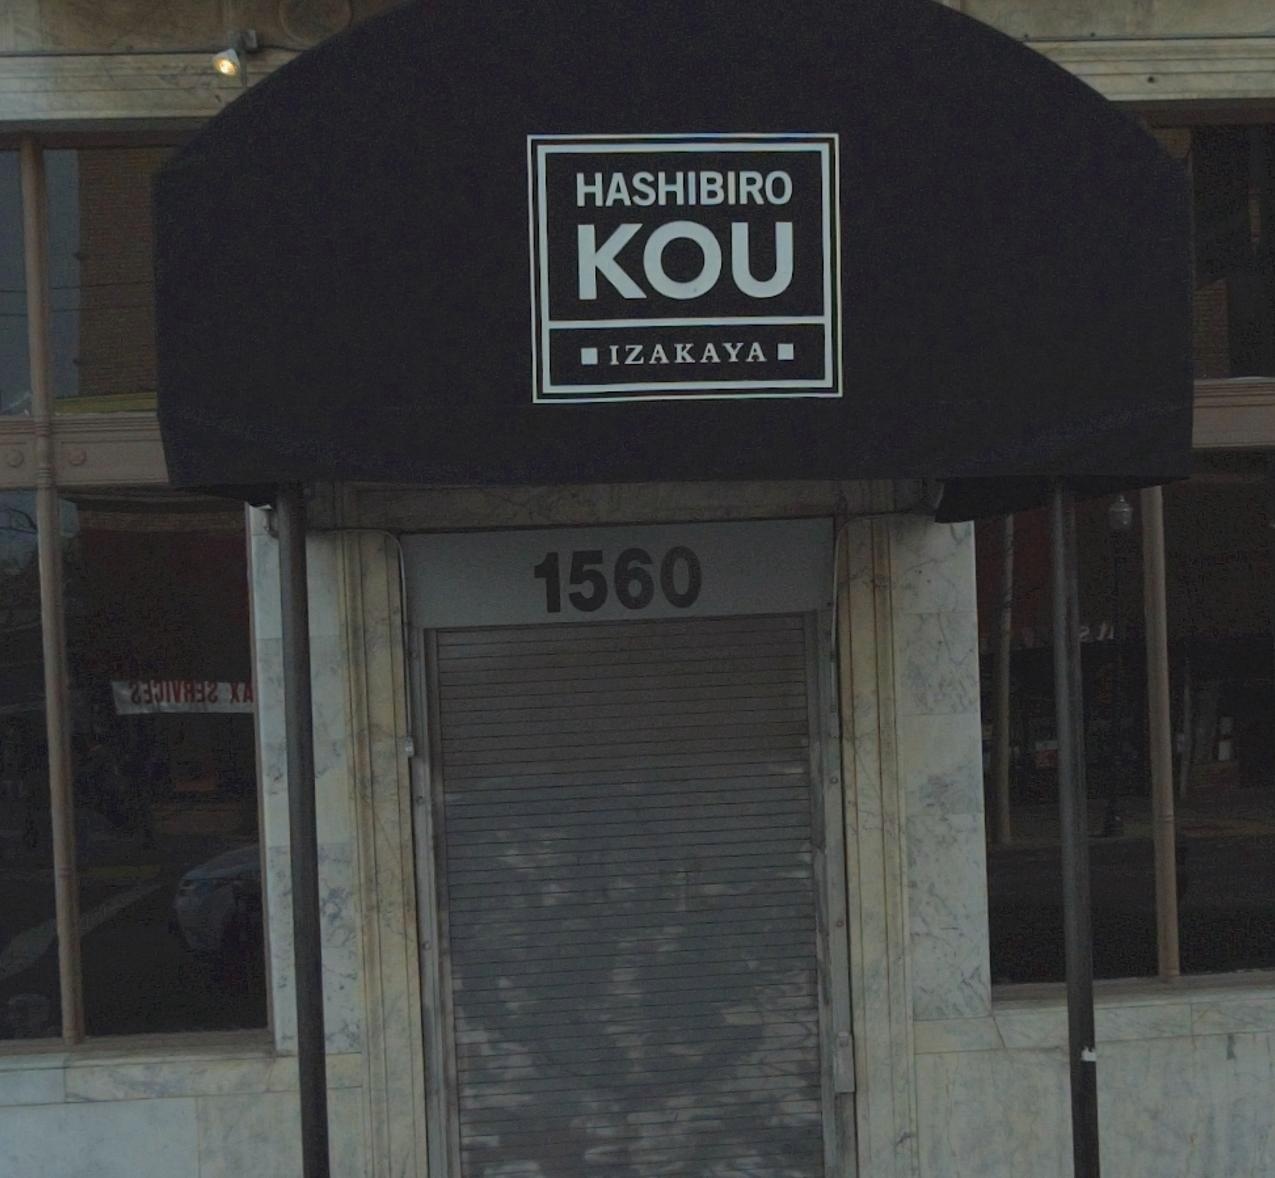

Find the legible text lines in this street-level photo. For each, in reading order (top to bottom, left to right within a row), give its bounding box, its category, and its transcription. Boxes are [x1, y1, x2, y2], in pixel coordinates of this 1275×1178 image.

[574, 167, 795, 212] BusinessName: HASHIBRIRO
[575, 218, 797, 303] BusinessName: KOU
[606, 339, 772, 369] None: IZAKAYA
[529, 539, 705, 616] StreetNumber: 1560
[124, 678, 256, 707] None: ***IV*** *A